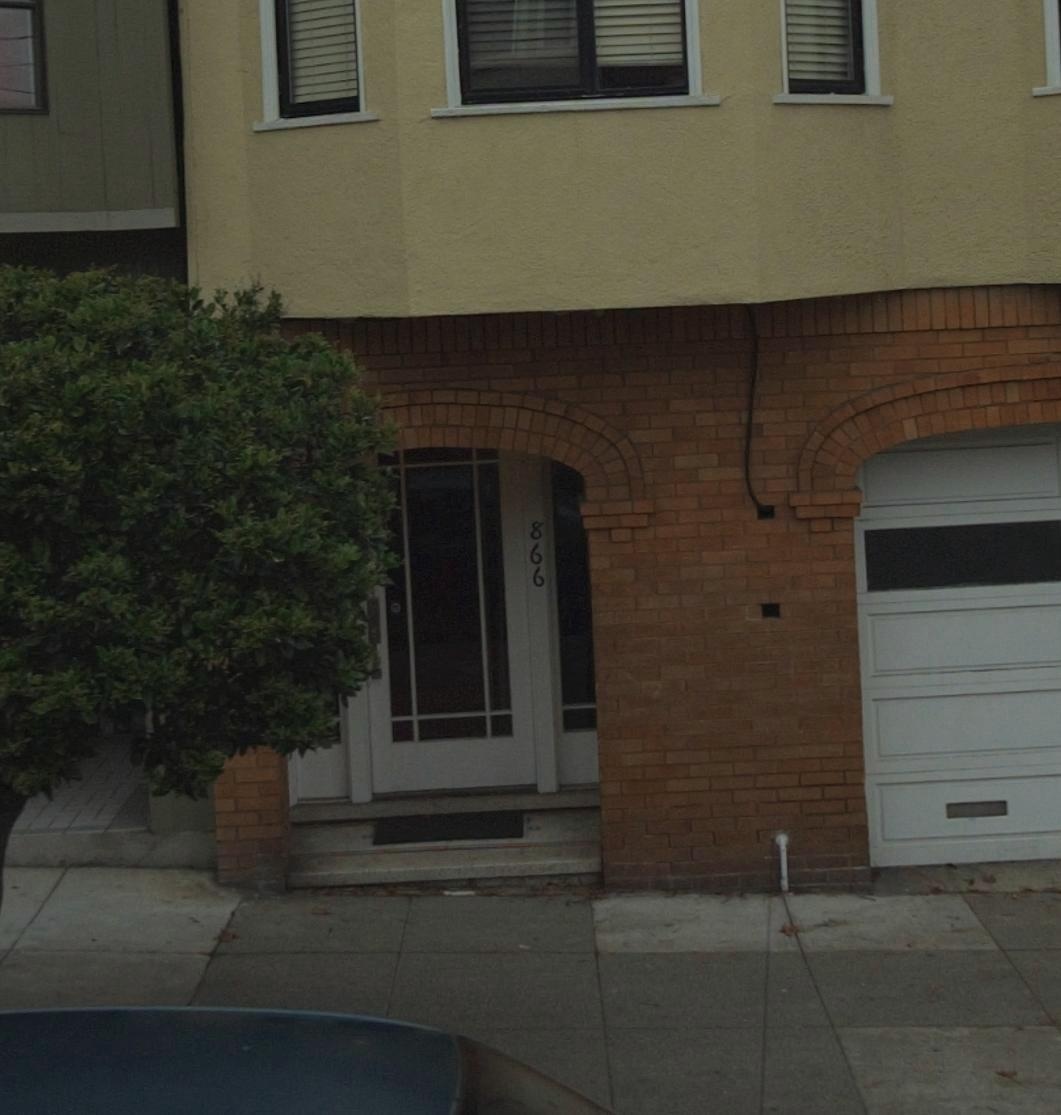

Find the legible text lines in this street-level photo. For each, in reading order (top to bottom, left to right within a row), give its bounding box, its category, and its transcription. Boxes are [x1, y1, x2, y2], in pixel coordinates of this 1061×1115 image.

[529, 519, 545, 588] StreetNumber: 866